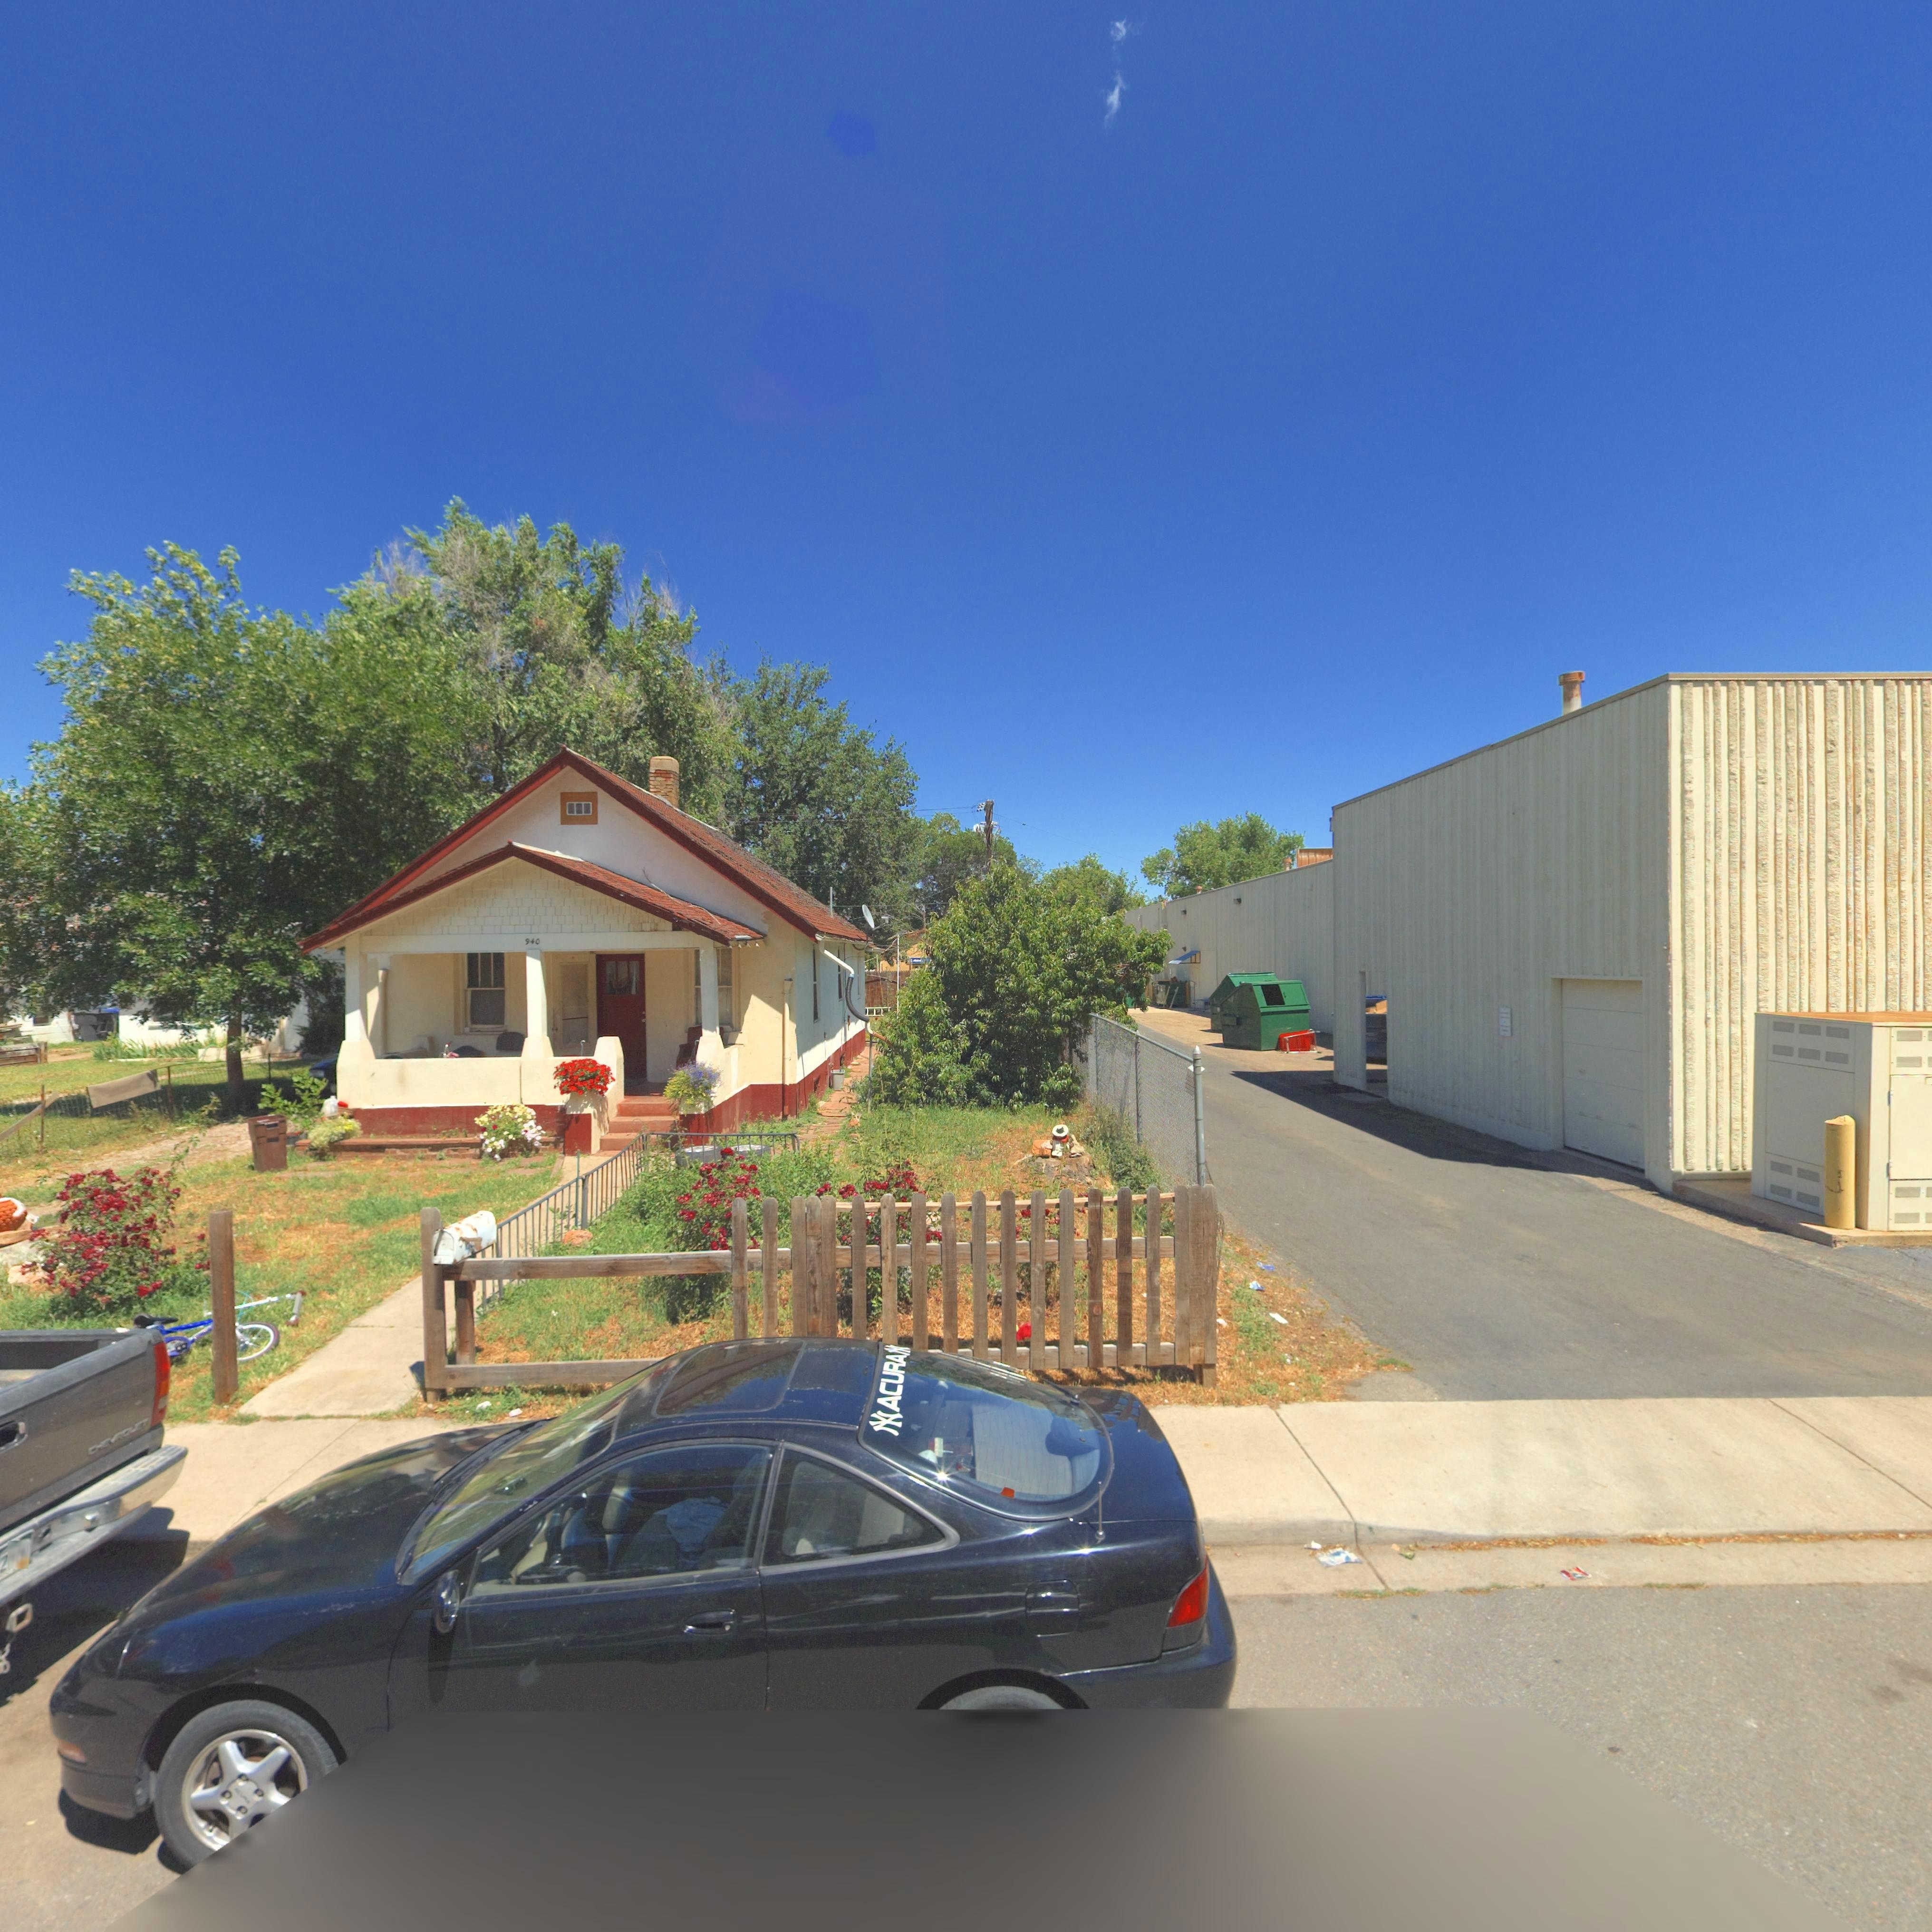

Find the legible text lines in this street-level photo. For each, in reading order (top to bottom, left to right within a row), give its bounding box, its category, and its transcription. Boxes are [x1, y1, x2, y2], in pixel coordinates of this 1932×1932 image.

[525, 937, 541, 945] StreetNumber: 940